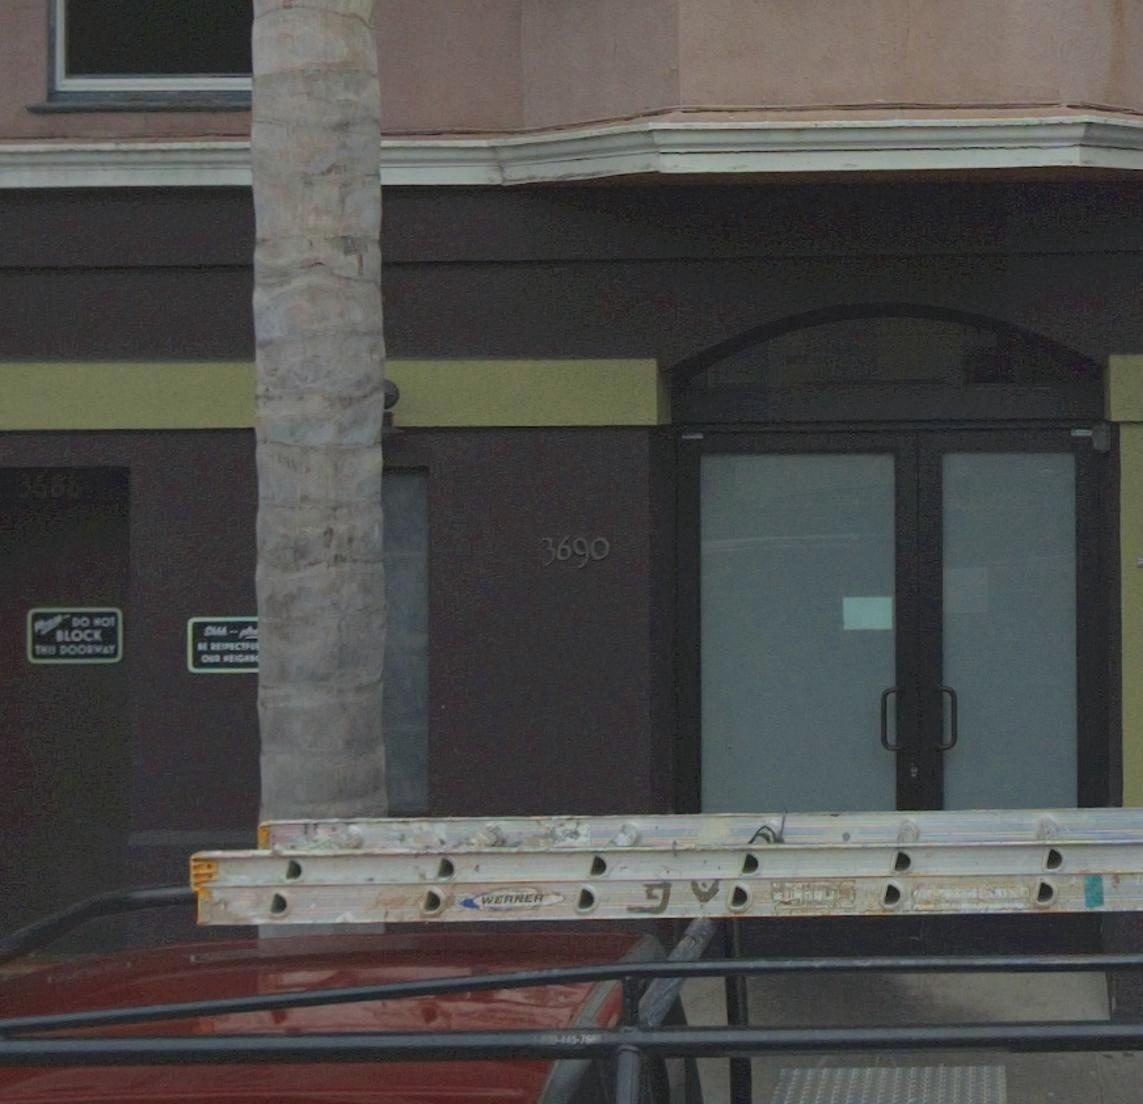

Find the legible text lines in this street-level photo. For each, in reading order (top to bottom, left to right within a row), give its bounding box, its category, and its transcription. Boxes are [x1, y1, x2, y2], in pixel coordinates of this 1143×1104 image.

[540, 532, 611, 571] StreetNumber: 3690
[71, 615, 116, 629] None: DO NOT
[54, 628, 103, 643] None: BLOCK
[33, 644, 118, 656] None: THE DOORWAY
[480, 893, 545, 905] None: WERNER